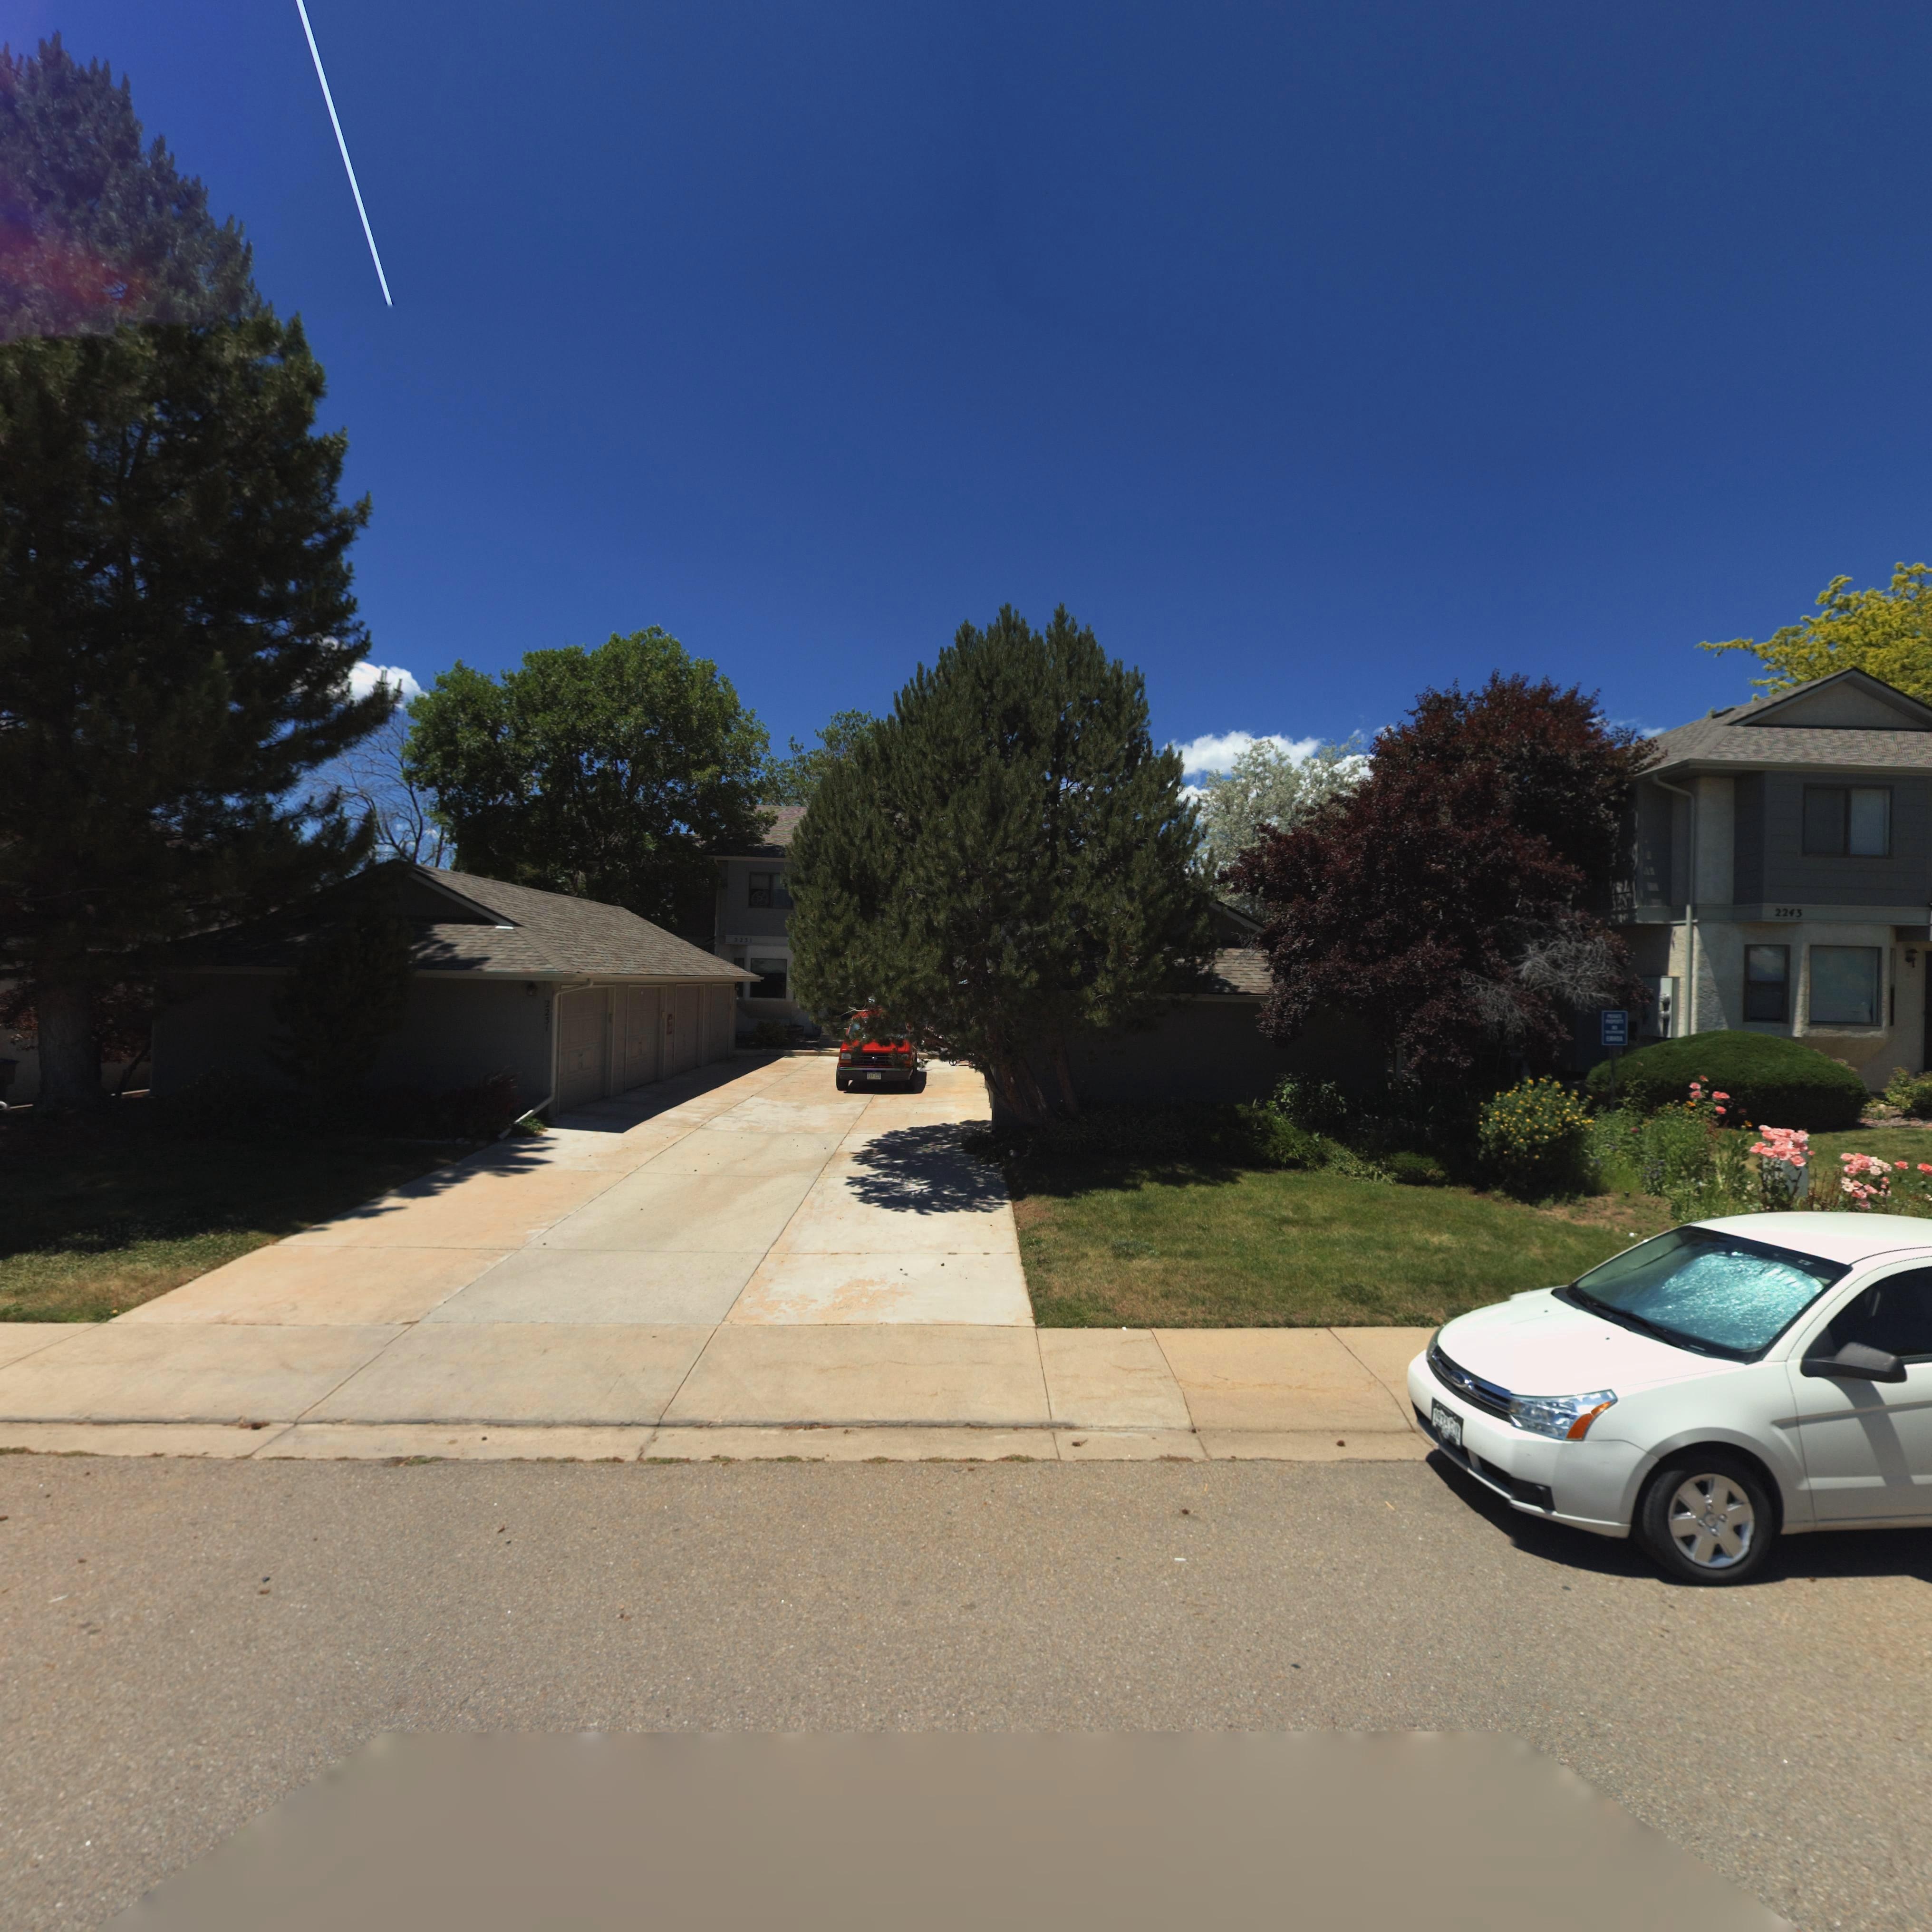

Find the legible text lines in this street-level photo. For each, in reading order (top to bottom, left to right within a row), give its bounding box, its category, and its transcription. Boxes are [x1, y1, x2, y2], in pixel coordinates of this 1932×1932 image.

[1775, 908, 1802, 918] StreetNumber: 2243
[734, 937, 752, 943] StreetNumber: 2231
[543, 999, 550, 1032] StreetNumber: 2231